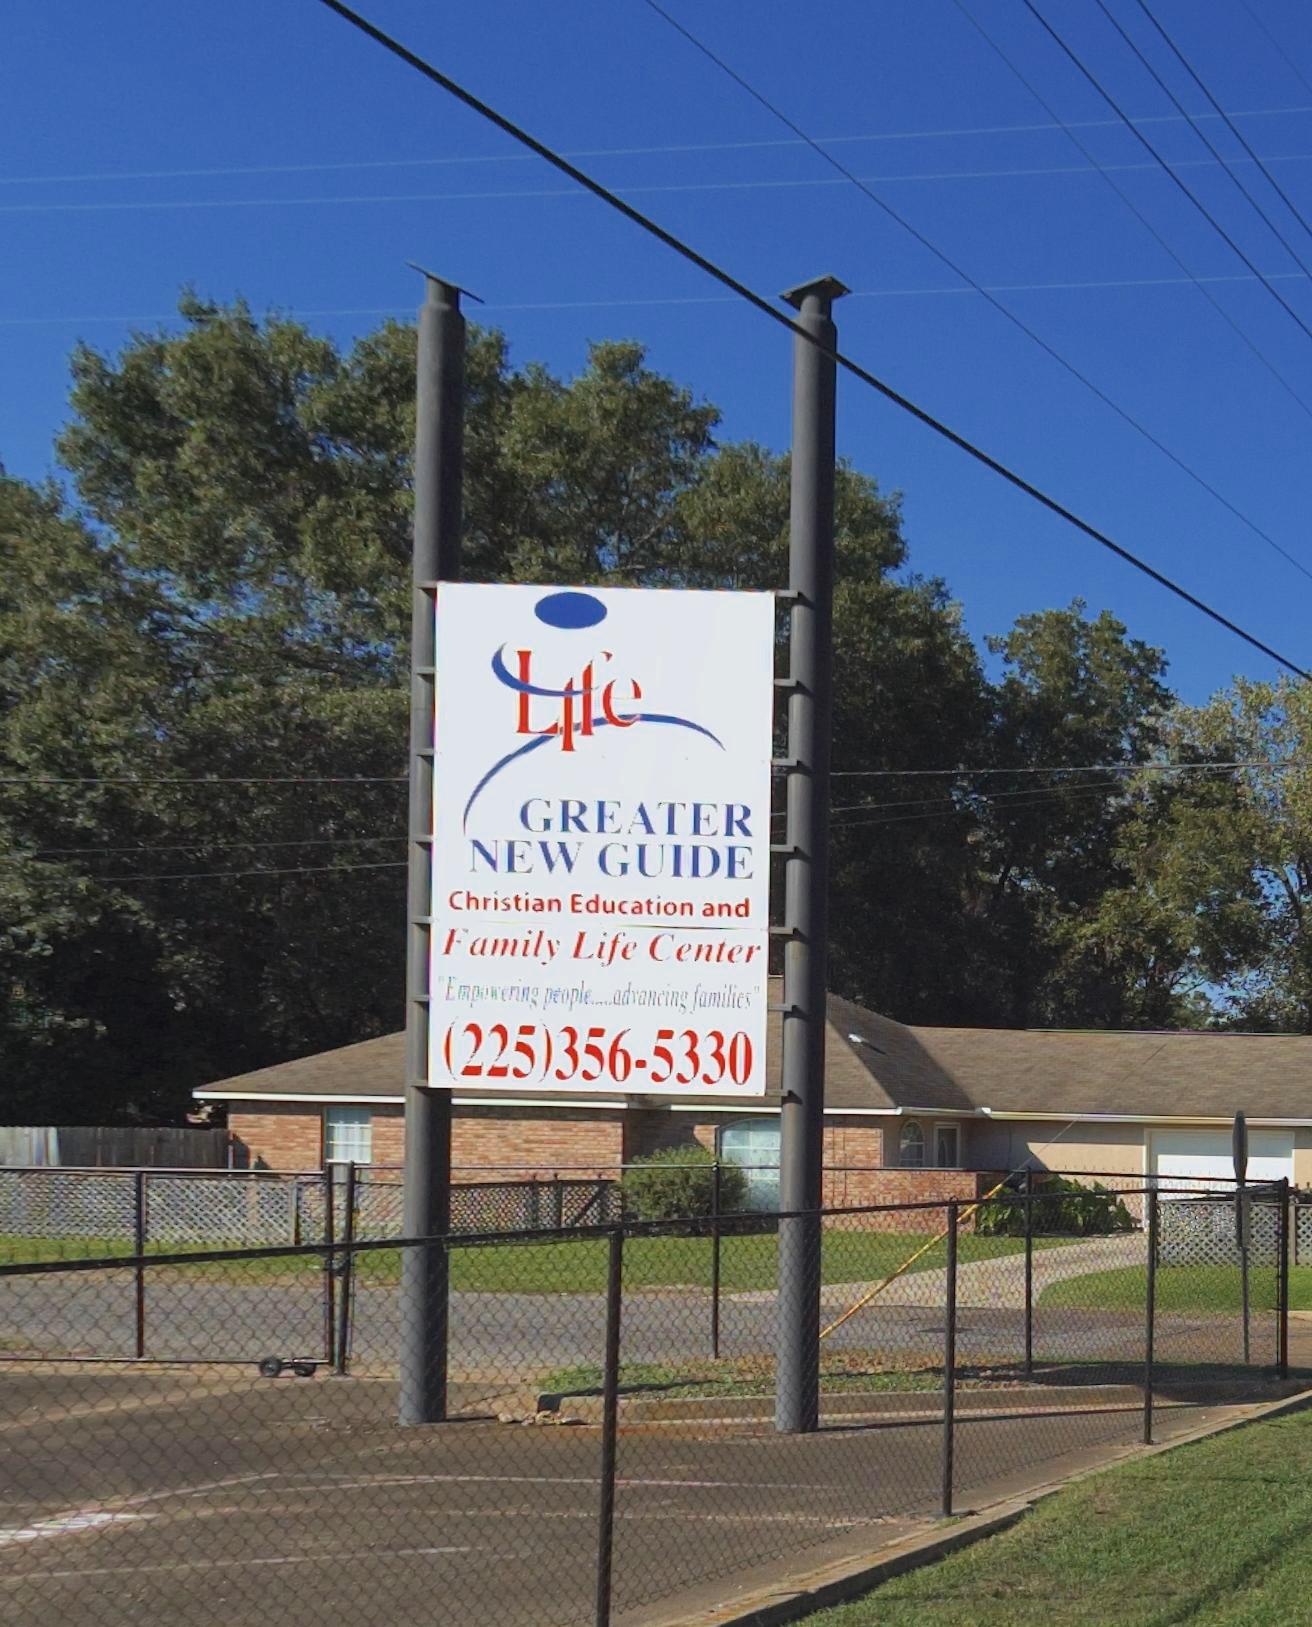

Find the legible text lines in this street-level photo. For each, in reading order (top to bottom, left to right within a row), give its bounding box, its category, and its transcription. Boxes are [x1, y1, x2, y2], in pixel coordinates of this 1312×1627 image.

[515, 643, 645, 754] BusinessName: Life
[516, 794, 756, 841] None: GREATER
[465, 836, 756, 883] None: NEW GUIDE
[446, 887, 752, 921] None: Christian Education and
[438, 926, 764, 970] None: Family Life Center
[443, 973, 756, 1018] None: Empowering people...advancing families
[458, 1018, 756, 1089] None: 225)356-5330